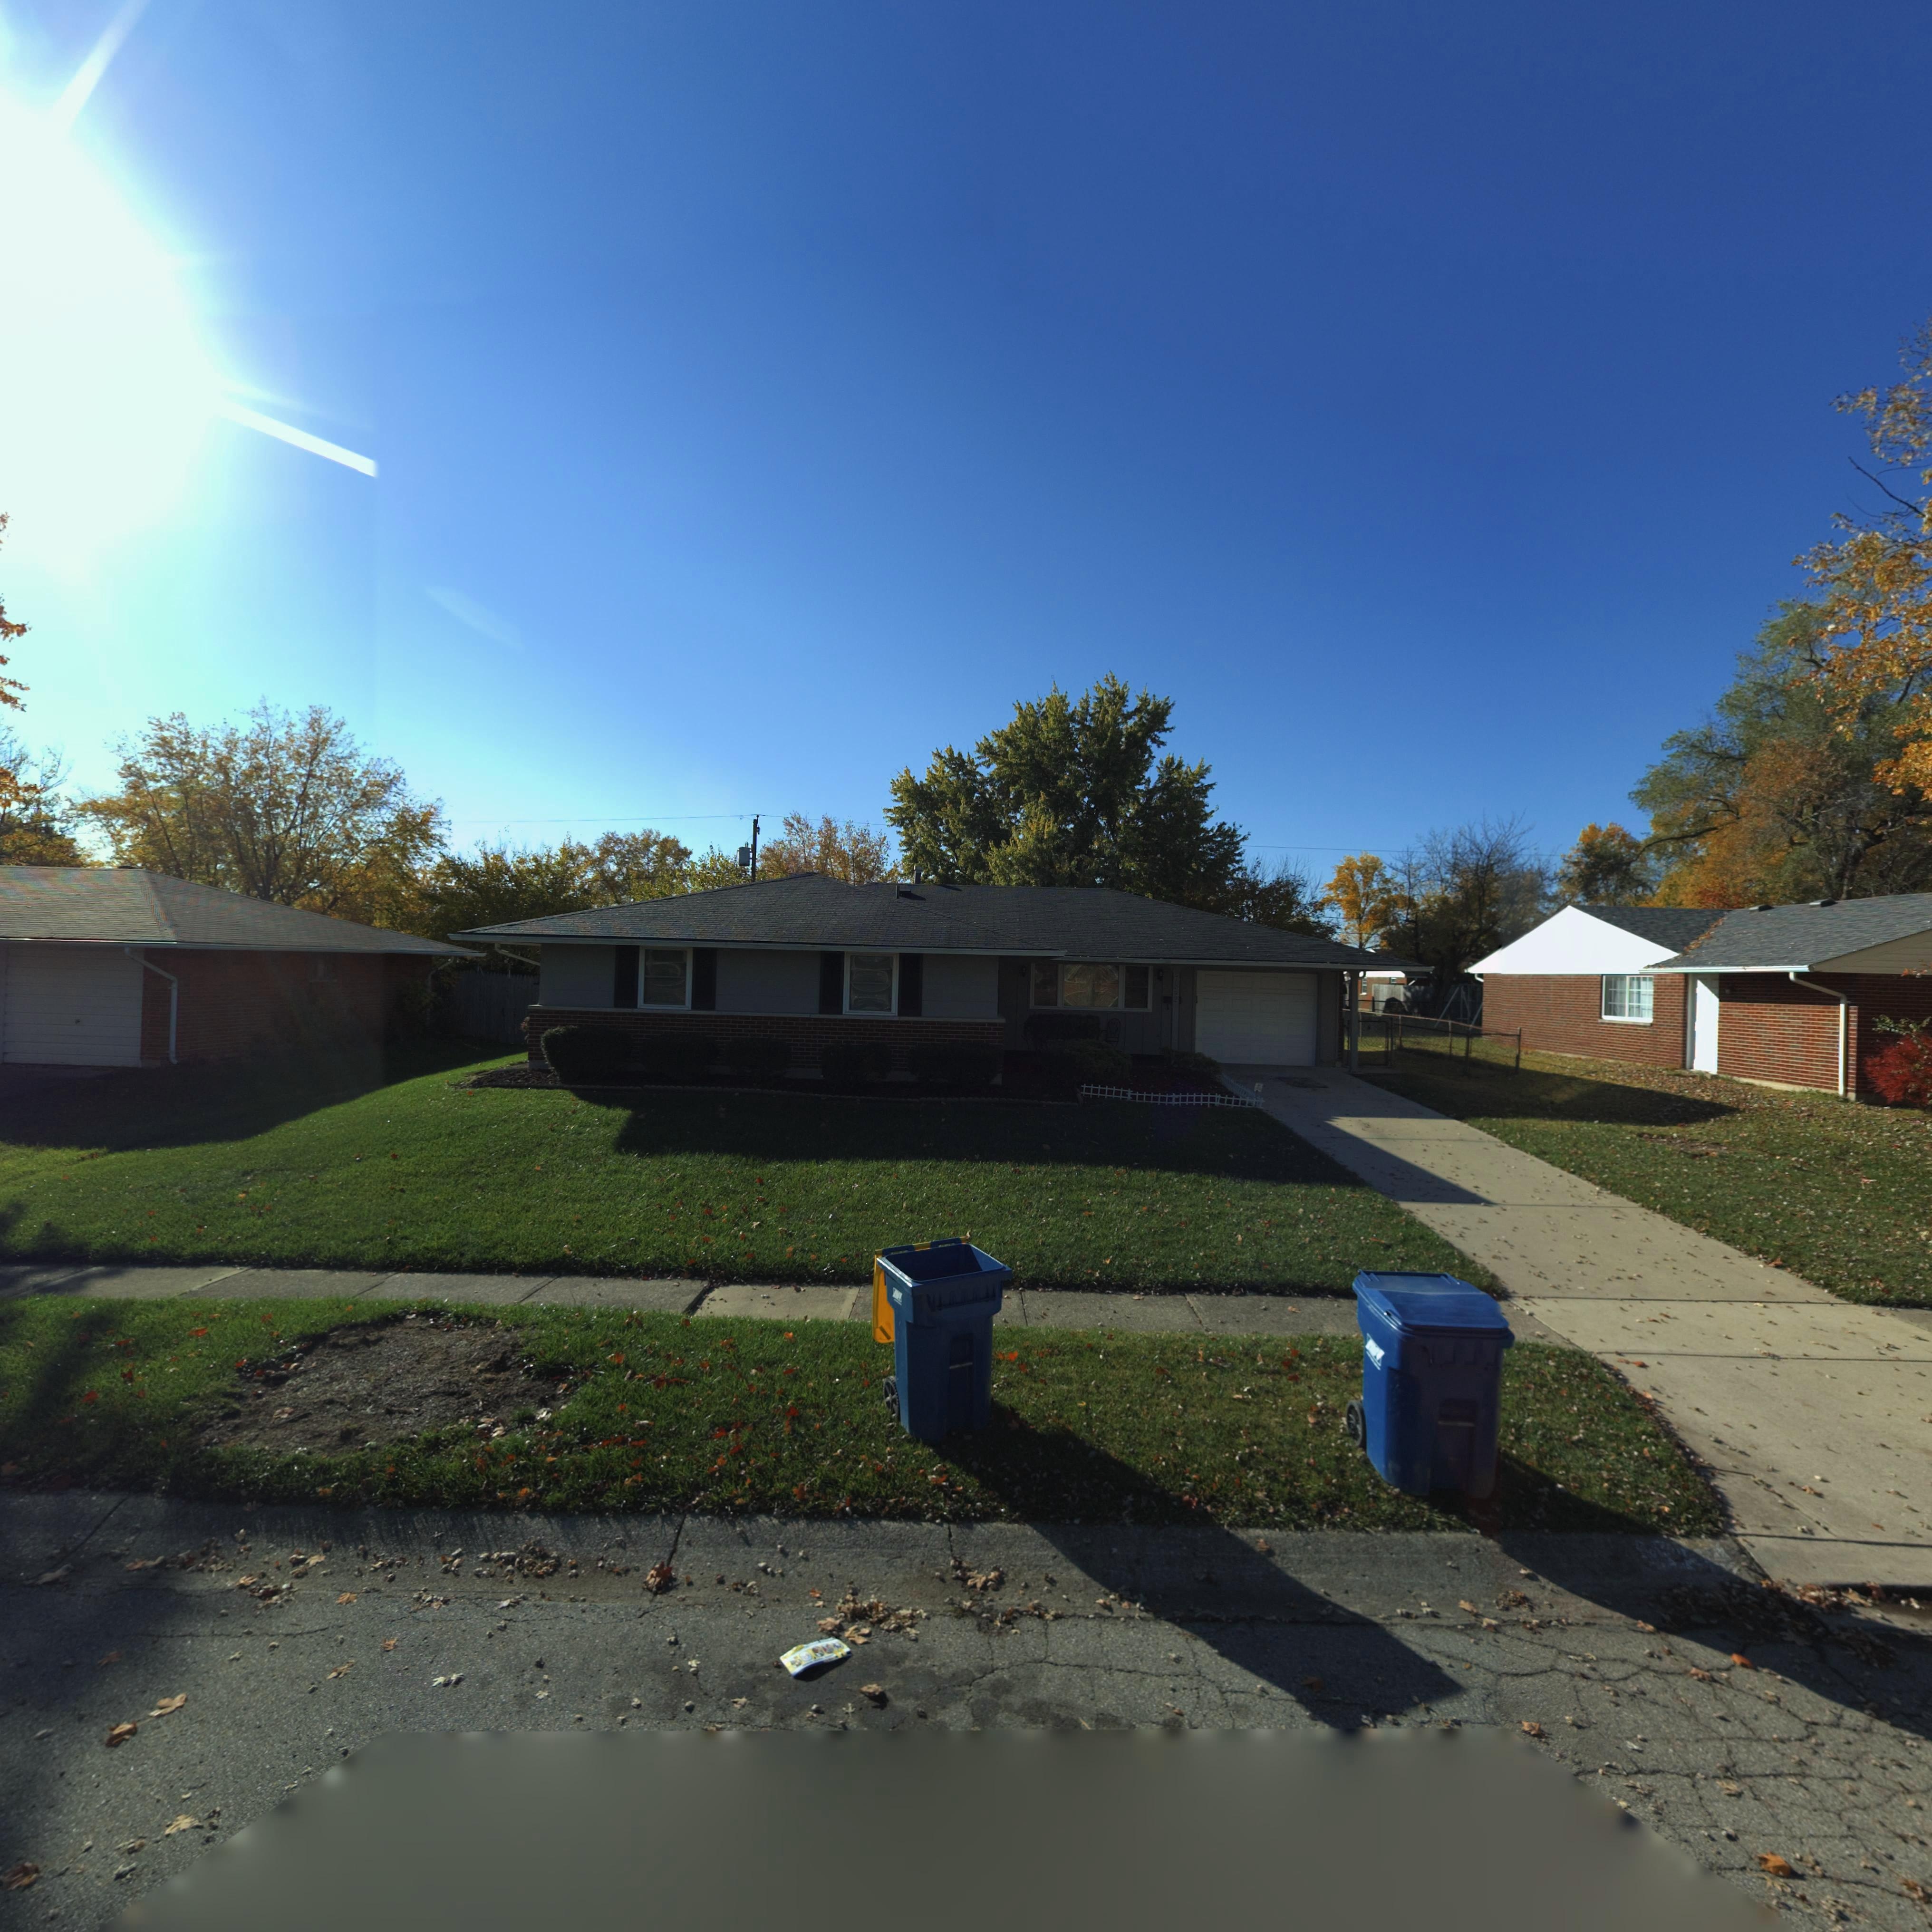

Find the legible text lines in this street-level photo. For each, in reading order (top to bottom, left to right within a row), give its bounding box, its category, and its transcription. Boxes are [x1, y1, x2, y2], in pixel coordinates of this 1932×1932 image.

[1172, 975, 1179, 1003] StreetNumber: 7842